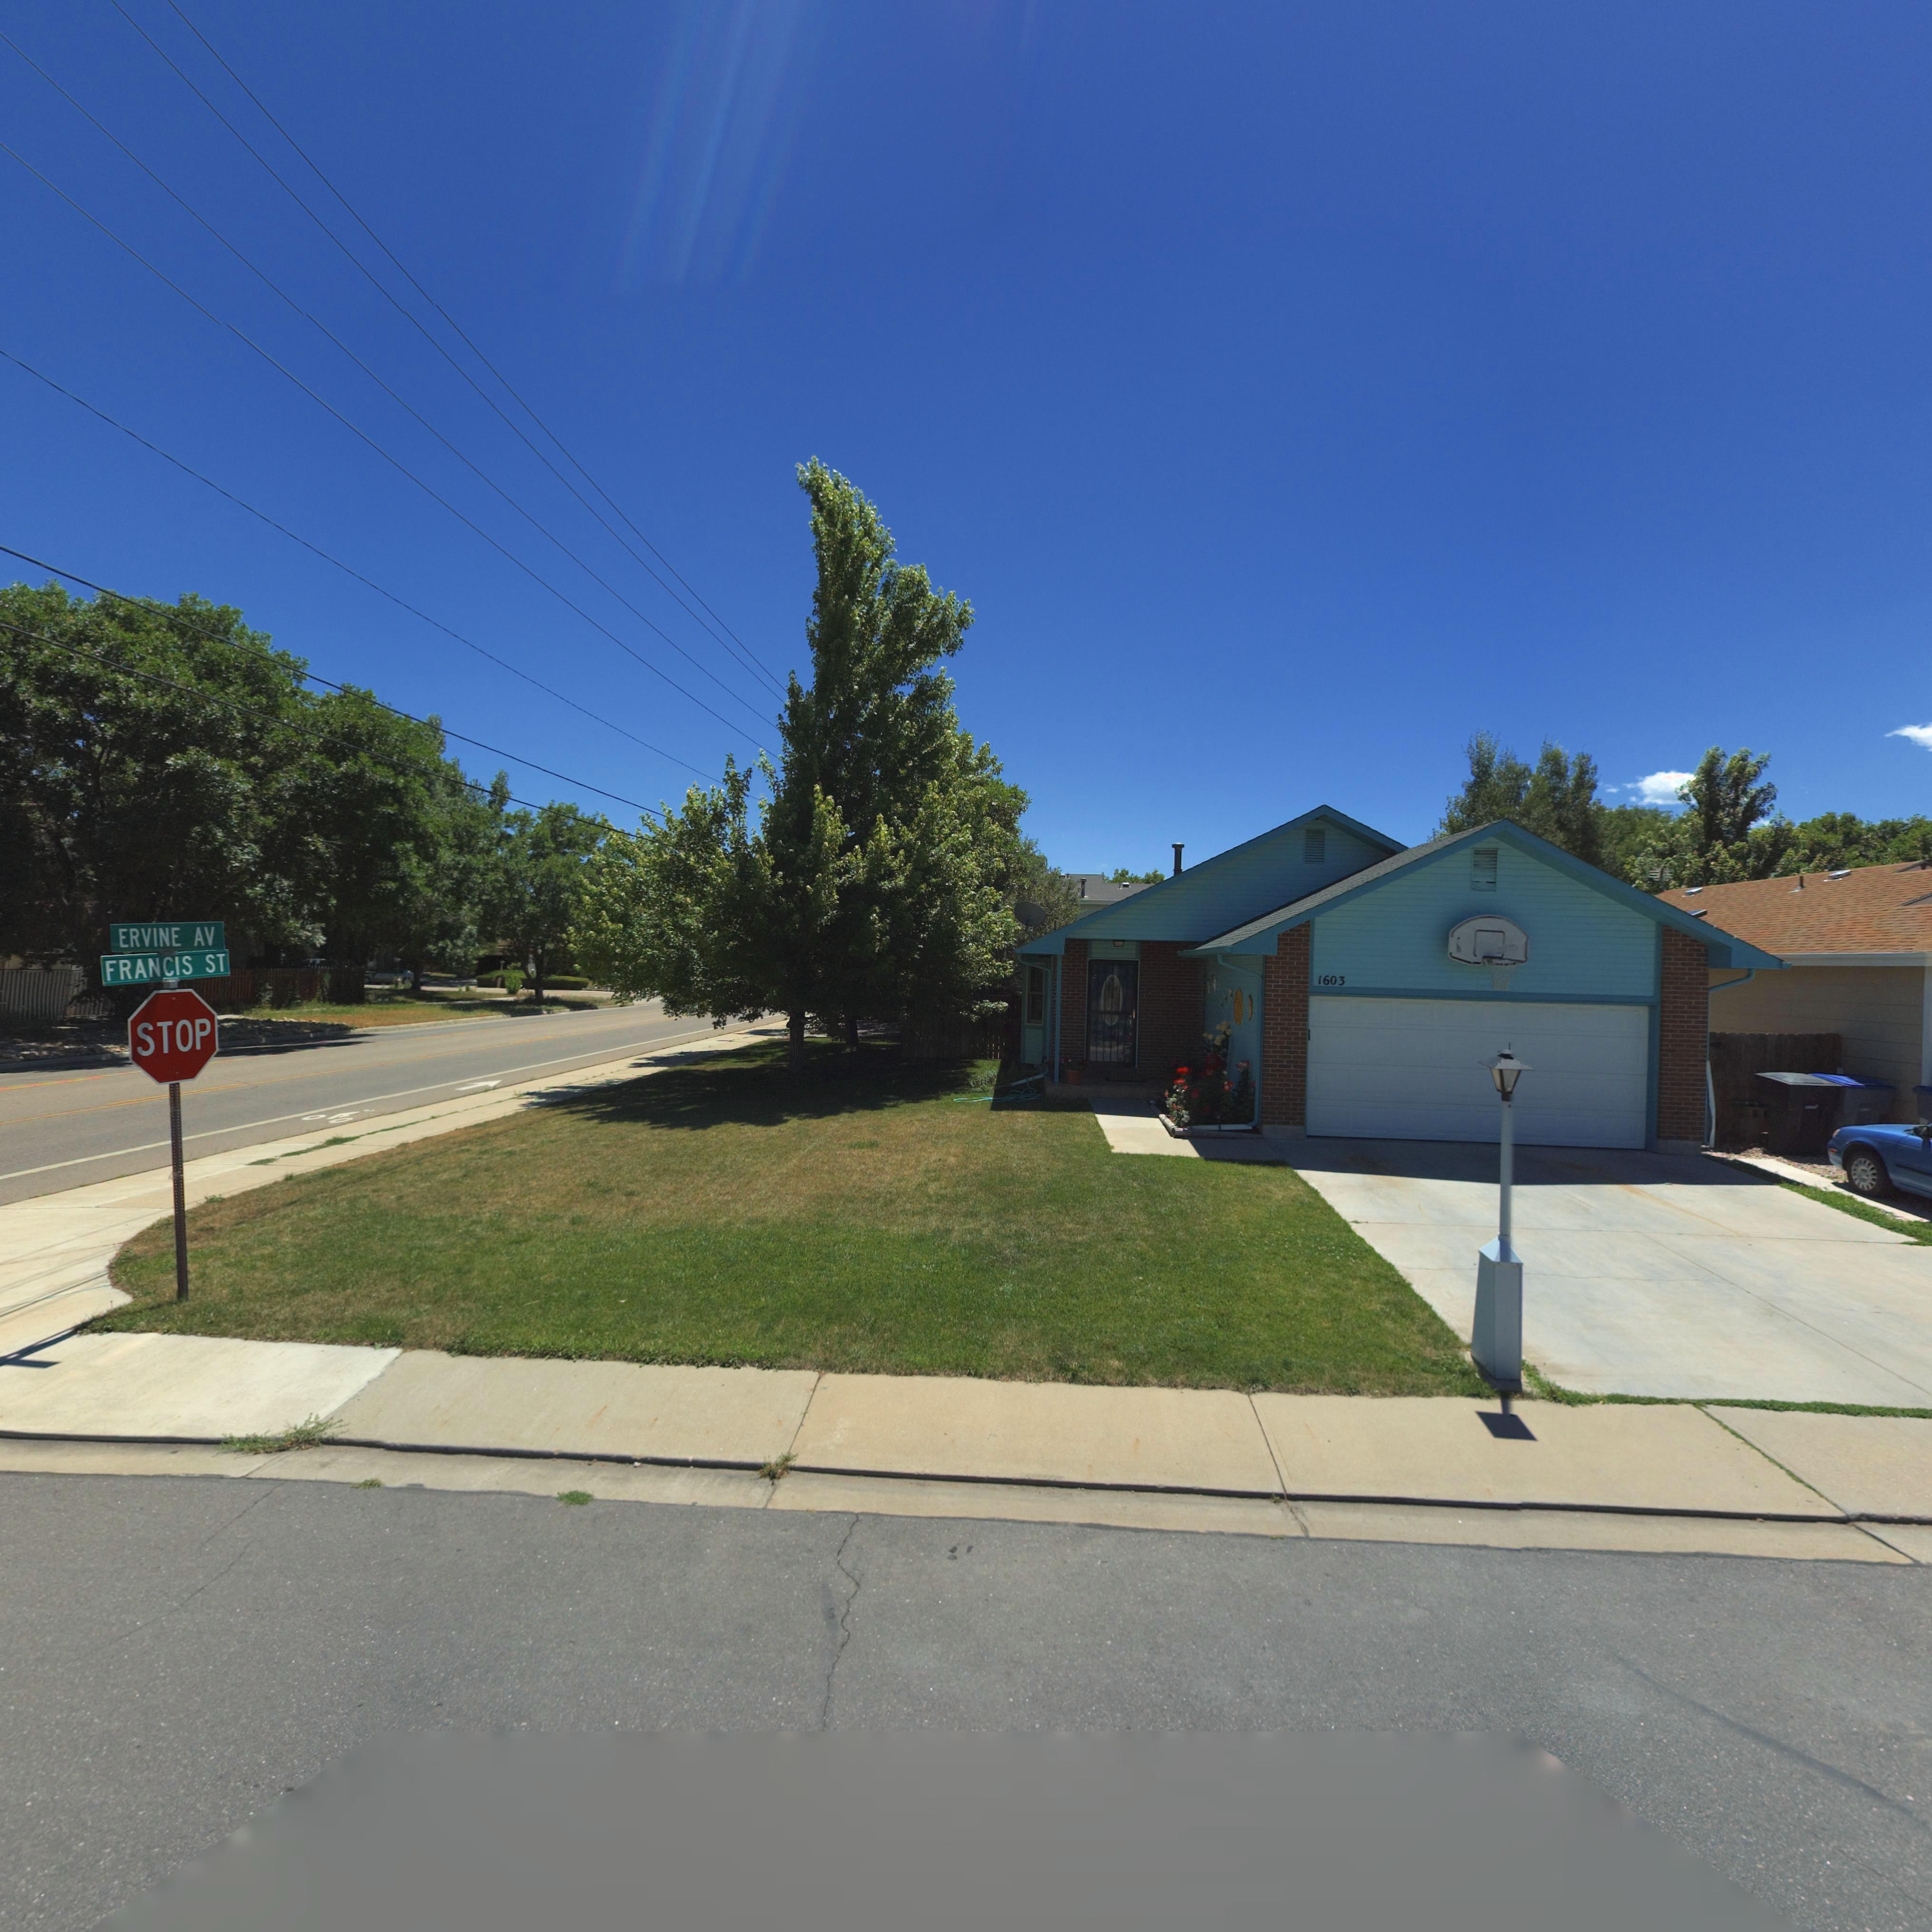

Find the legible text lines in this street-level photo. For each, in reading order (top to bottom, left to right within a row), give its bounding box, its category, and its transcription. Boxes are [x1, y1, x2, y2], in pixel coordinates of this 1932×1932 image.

[116, 925, 216, 949] StreetName: ERVINE AV
[104, 952, 226, 982] StreetName: FRANCIS ST
[1316, 974, 1346, 985] StreetNumber: 1603